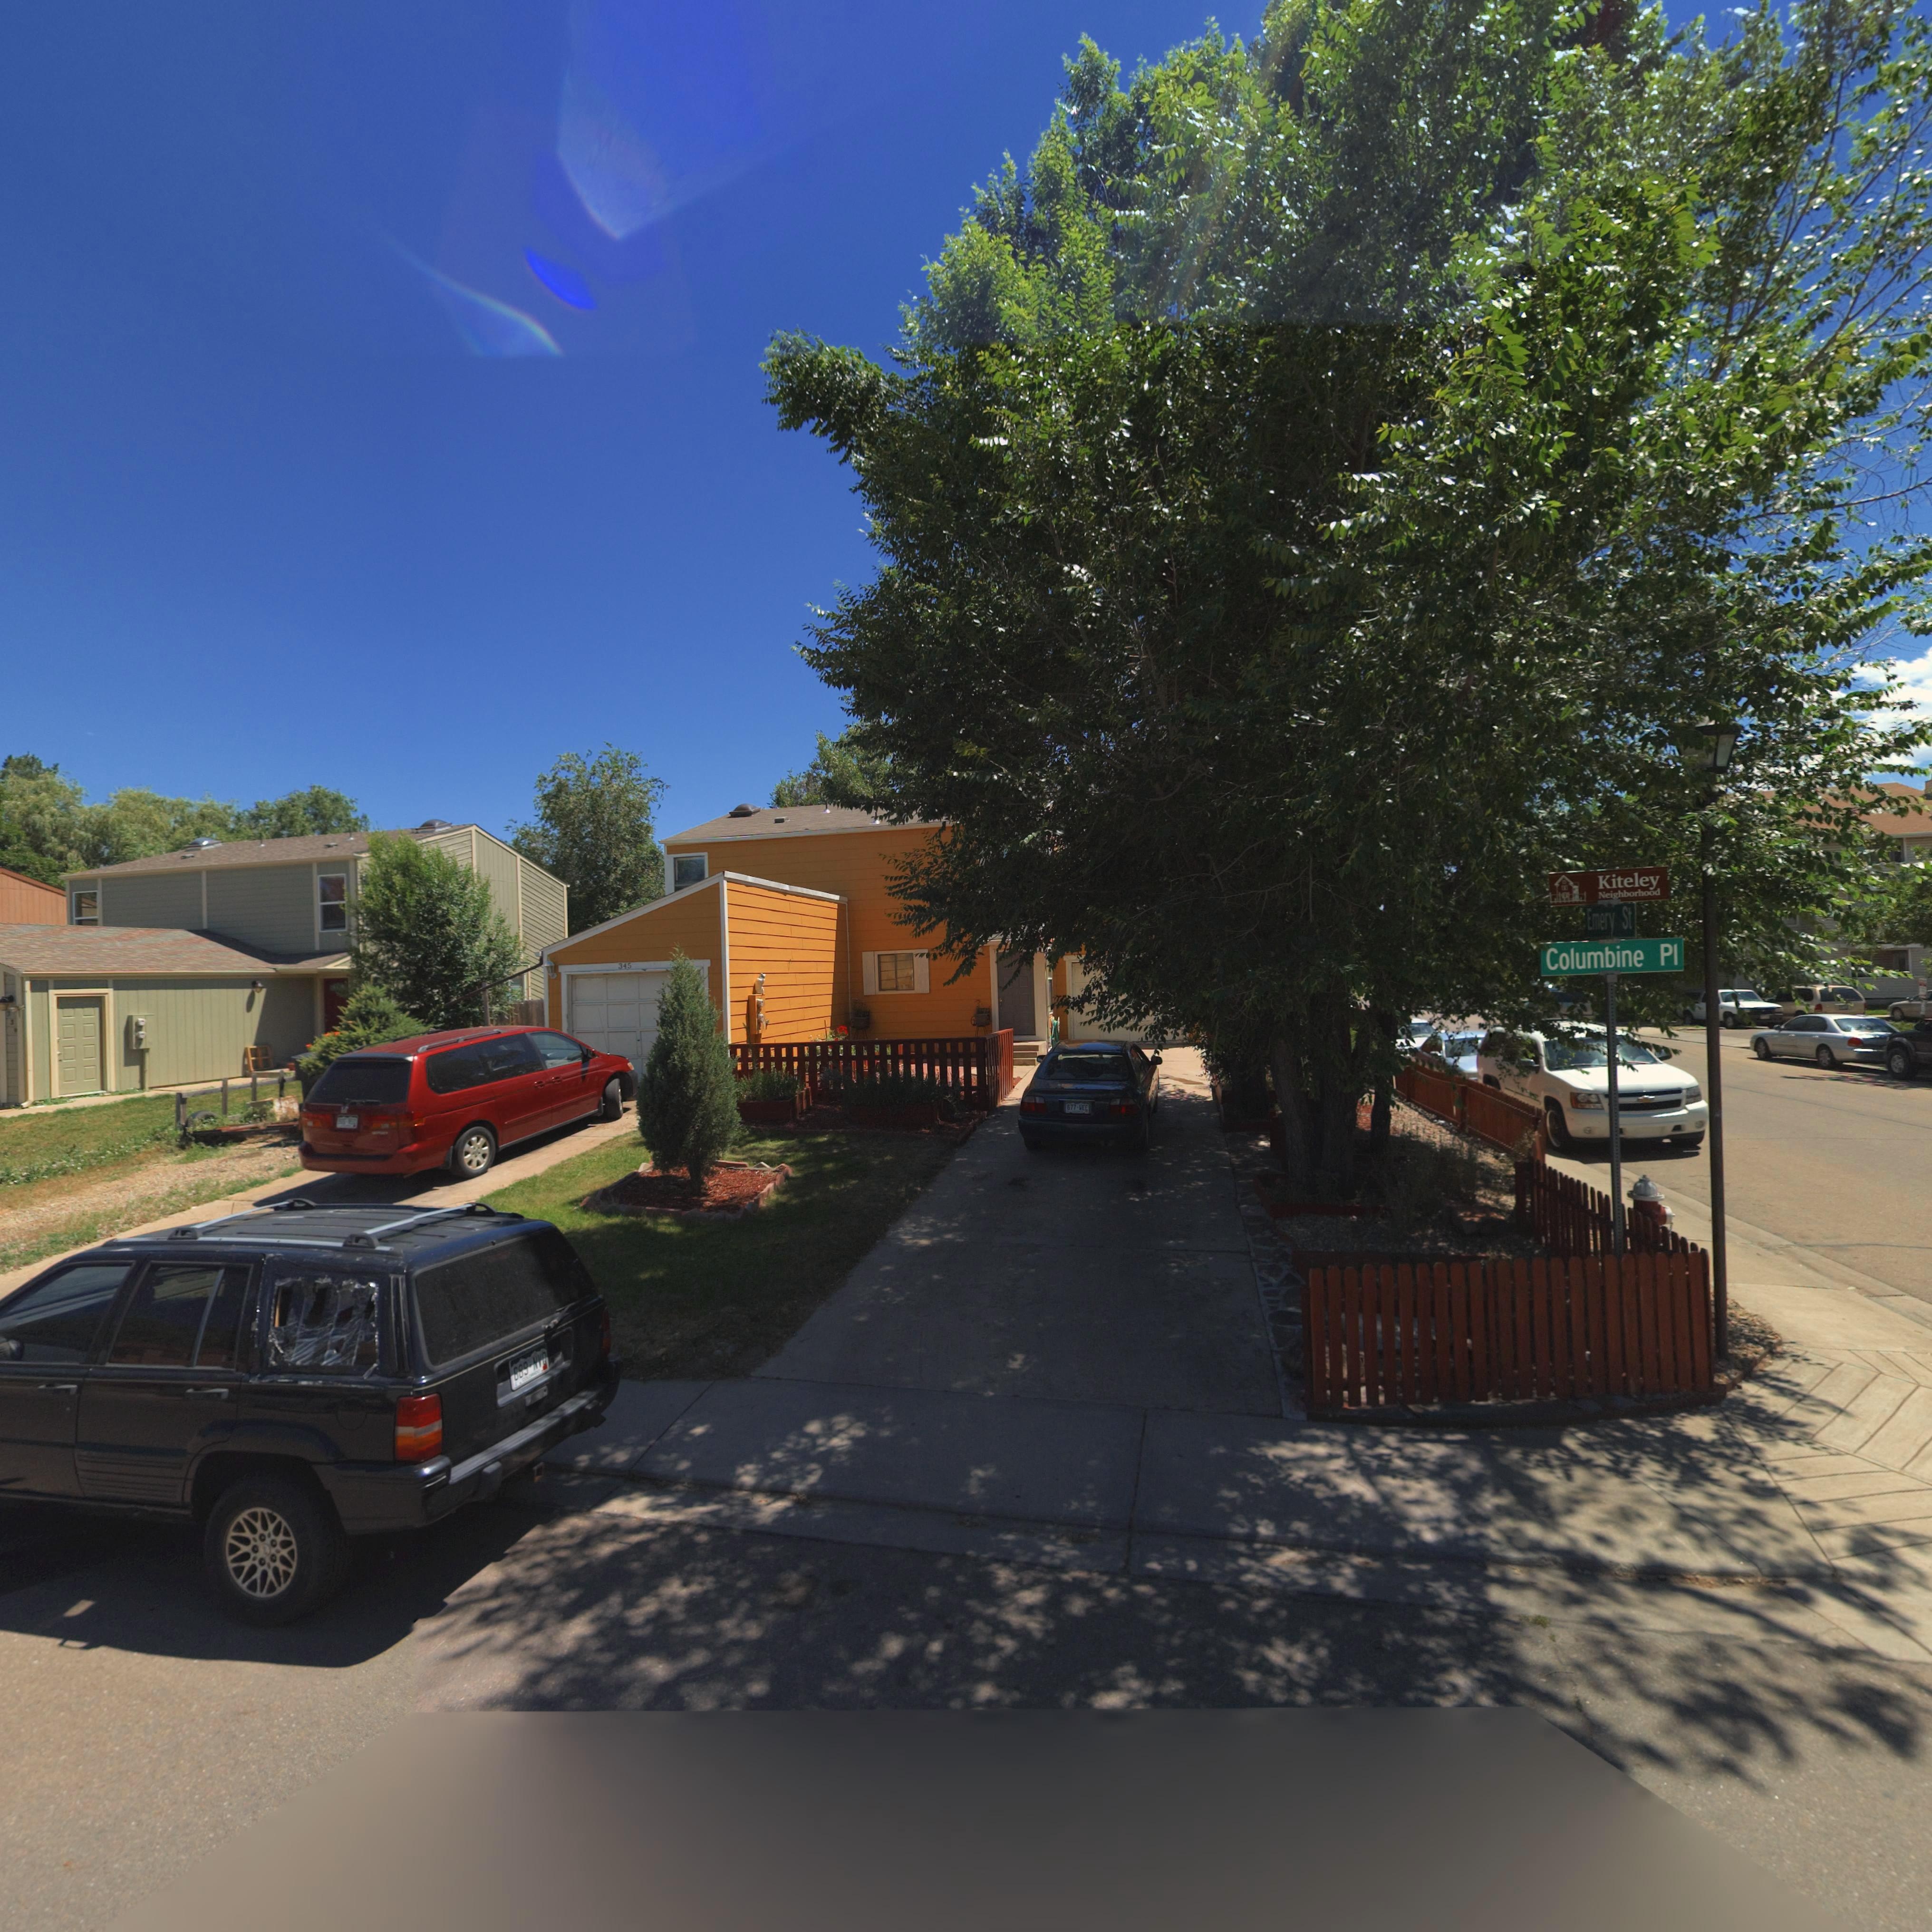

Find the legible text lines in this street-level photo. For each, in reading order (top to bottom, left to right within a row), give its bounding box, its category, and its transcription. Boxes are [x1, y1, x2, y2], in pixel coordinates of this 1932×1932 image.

[1587, 905, 1633, 937] StreetName: Emery St
[618, 962, 631, 969] StreetNumber: 345
[1546, 944, 1678, 970] StreetName: Columbine   PI
[6, 1010, 14, 1026] StreetNumber: 3*